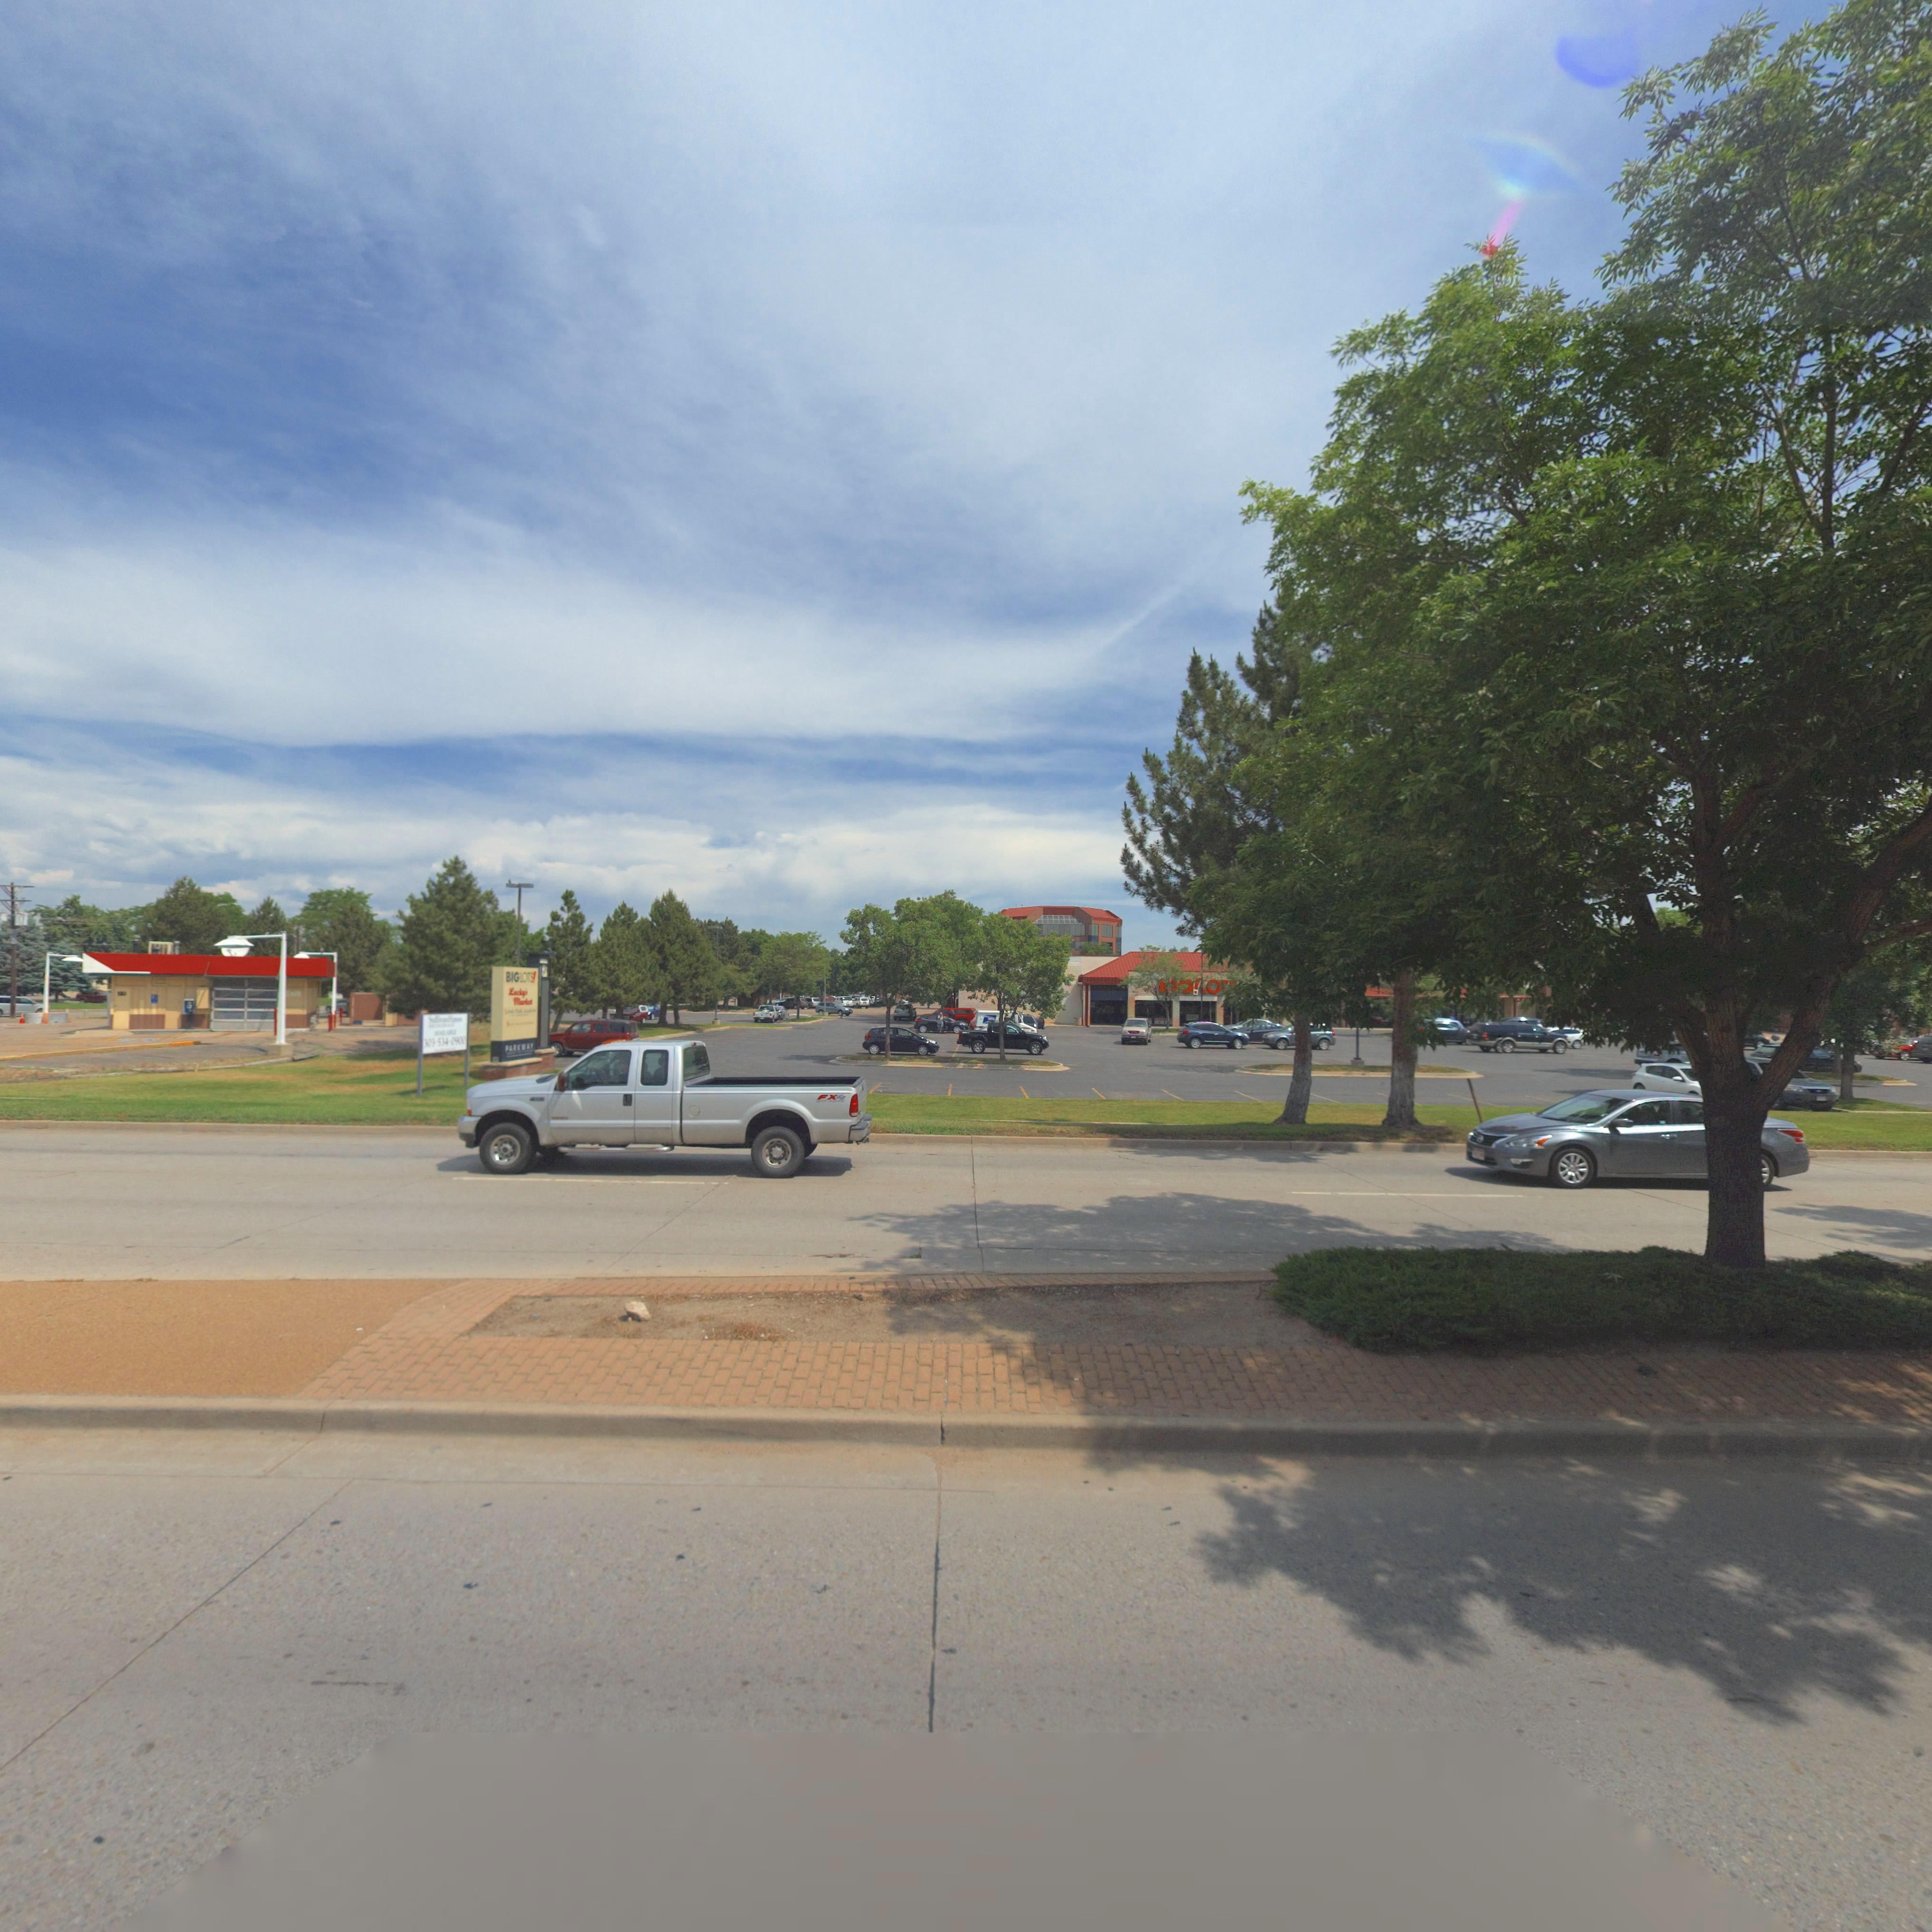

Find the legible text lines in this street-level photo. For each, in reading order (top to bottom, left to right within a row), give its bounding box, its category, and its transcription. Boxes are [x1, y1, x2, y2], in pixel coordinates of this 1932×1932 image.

[1158, 976, 1229, 994] BusinessName: *****O*